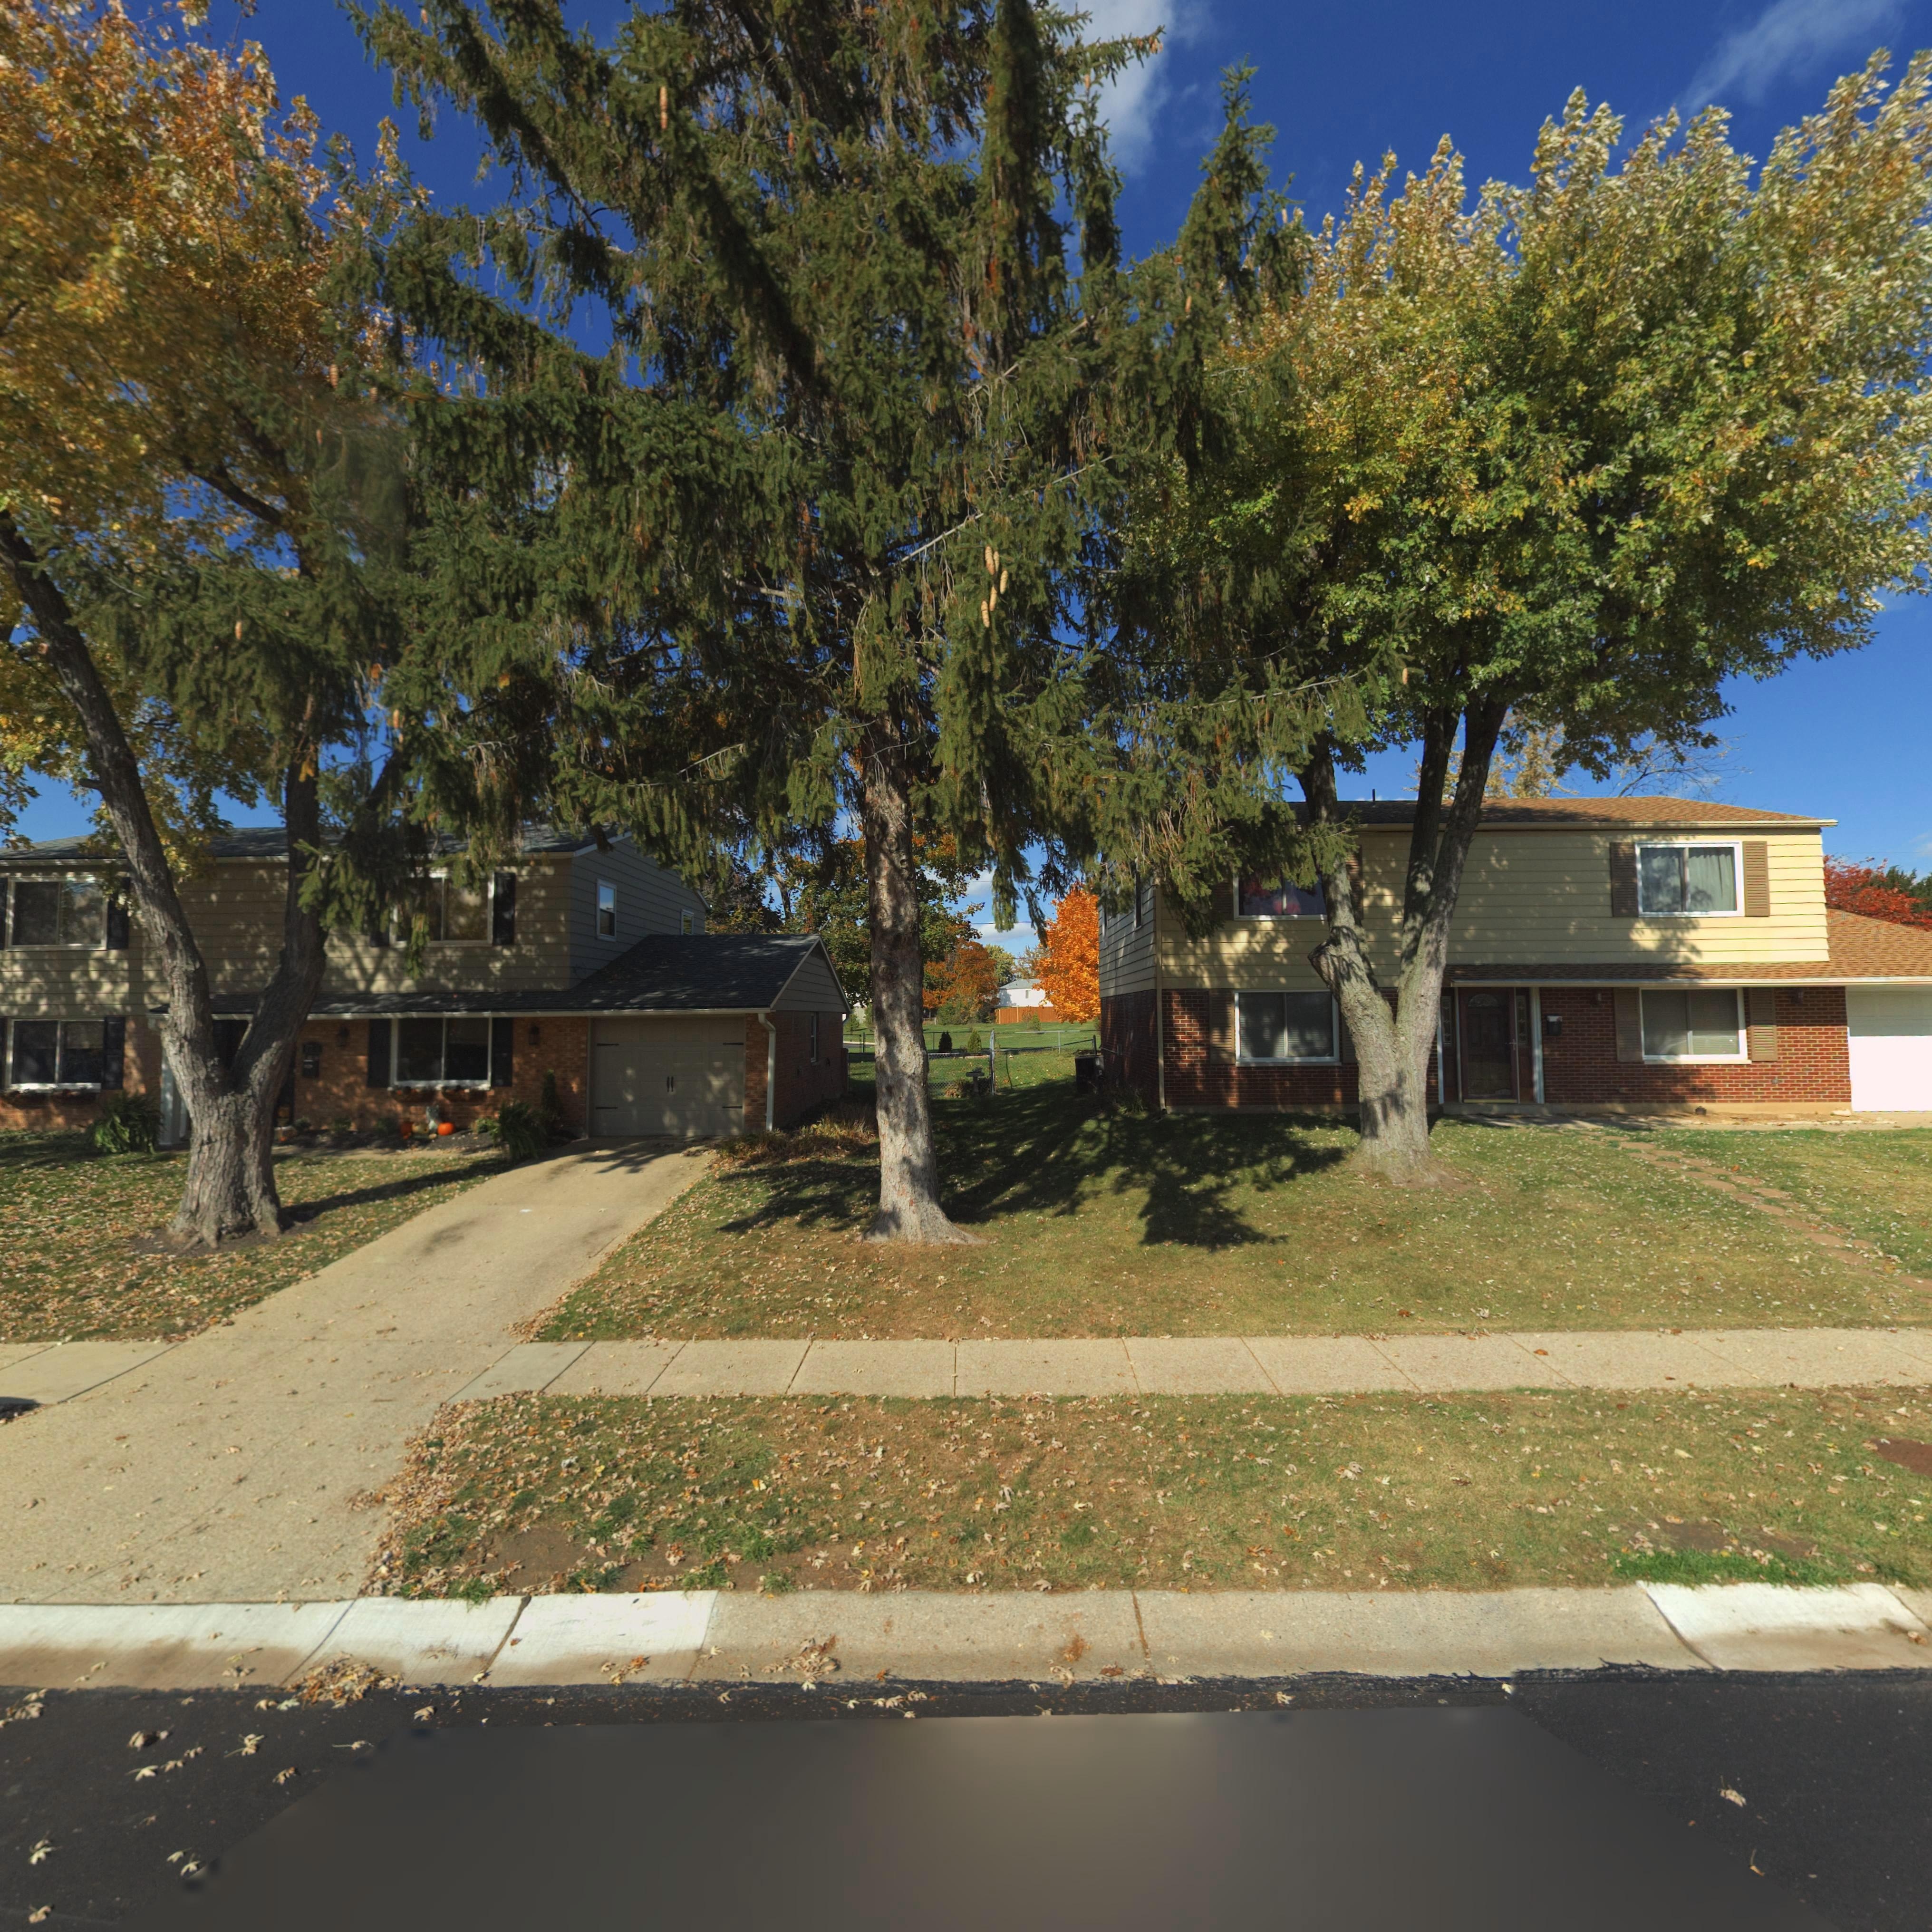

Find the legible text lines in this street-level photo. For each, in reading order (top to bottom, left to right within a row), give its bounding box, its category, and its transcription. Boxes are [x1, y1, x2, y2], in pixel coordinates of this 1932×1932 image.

[304, 1044, 314, 1053] StreetNumber: 77